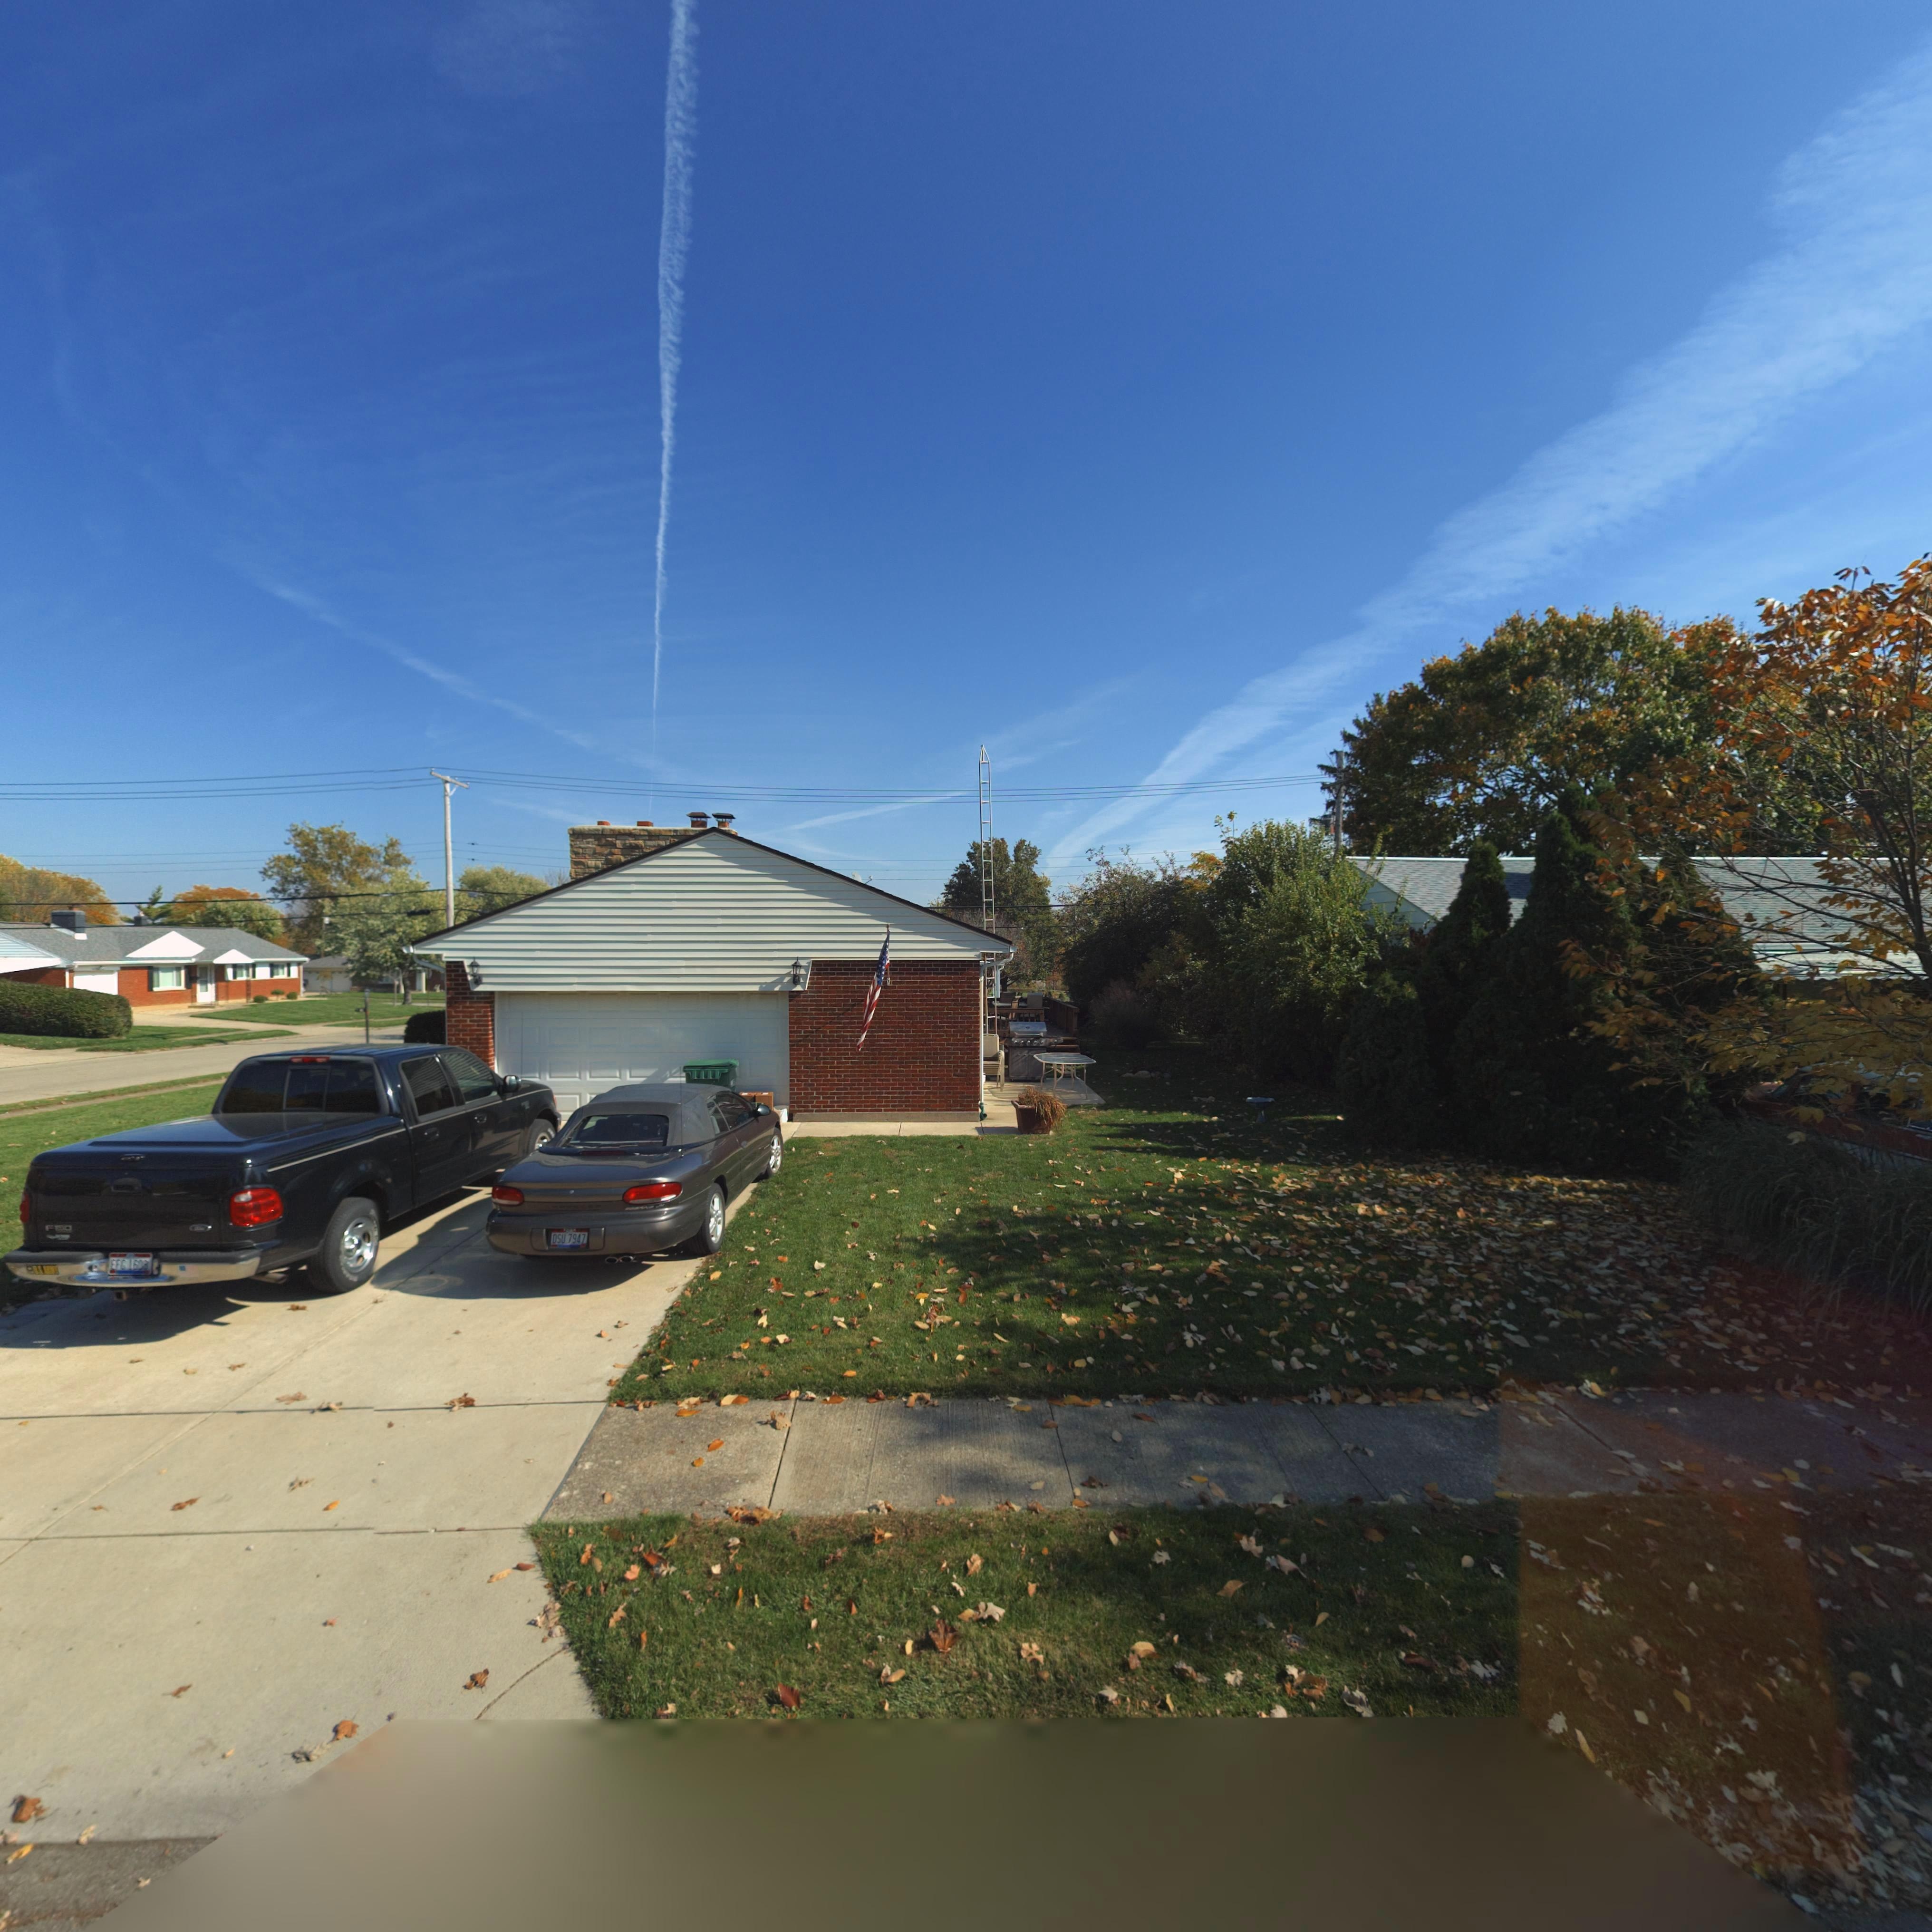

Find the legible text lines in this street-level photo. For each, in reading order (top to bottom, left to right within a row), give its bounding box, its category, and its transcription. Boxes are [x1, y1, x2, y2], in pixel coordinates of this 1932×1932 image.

[551, 1232, 587, 1245] None: OSU 7947
[110, 1258, 149, 1272] None: *FG 16**